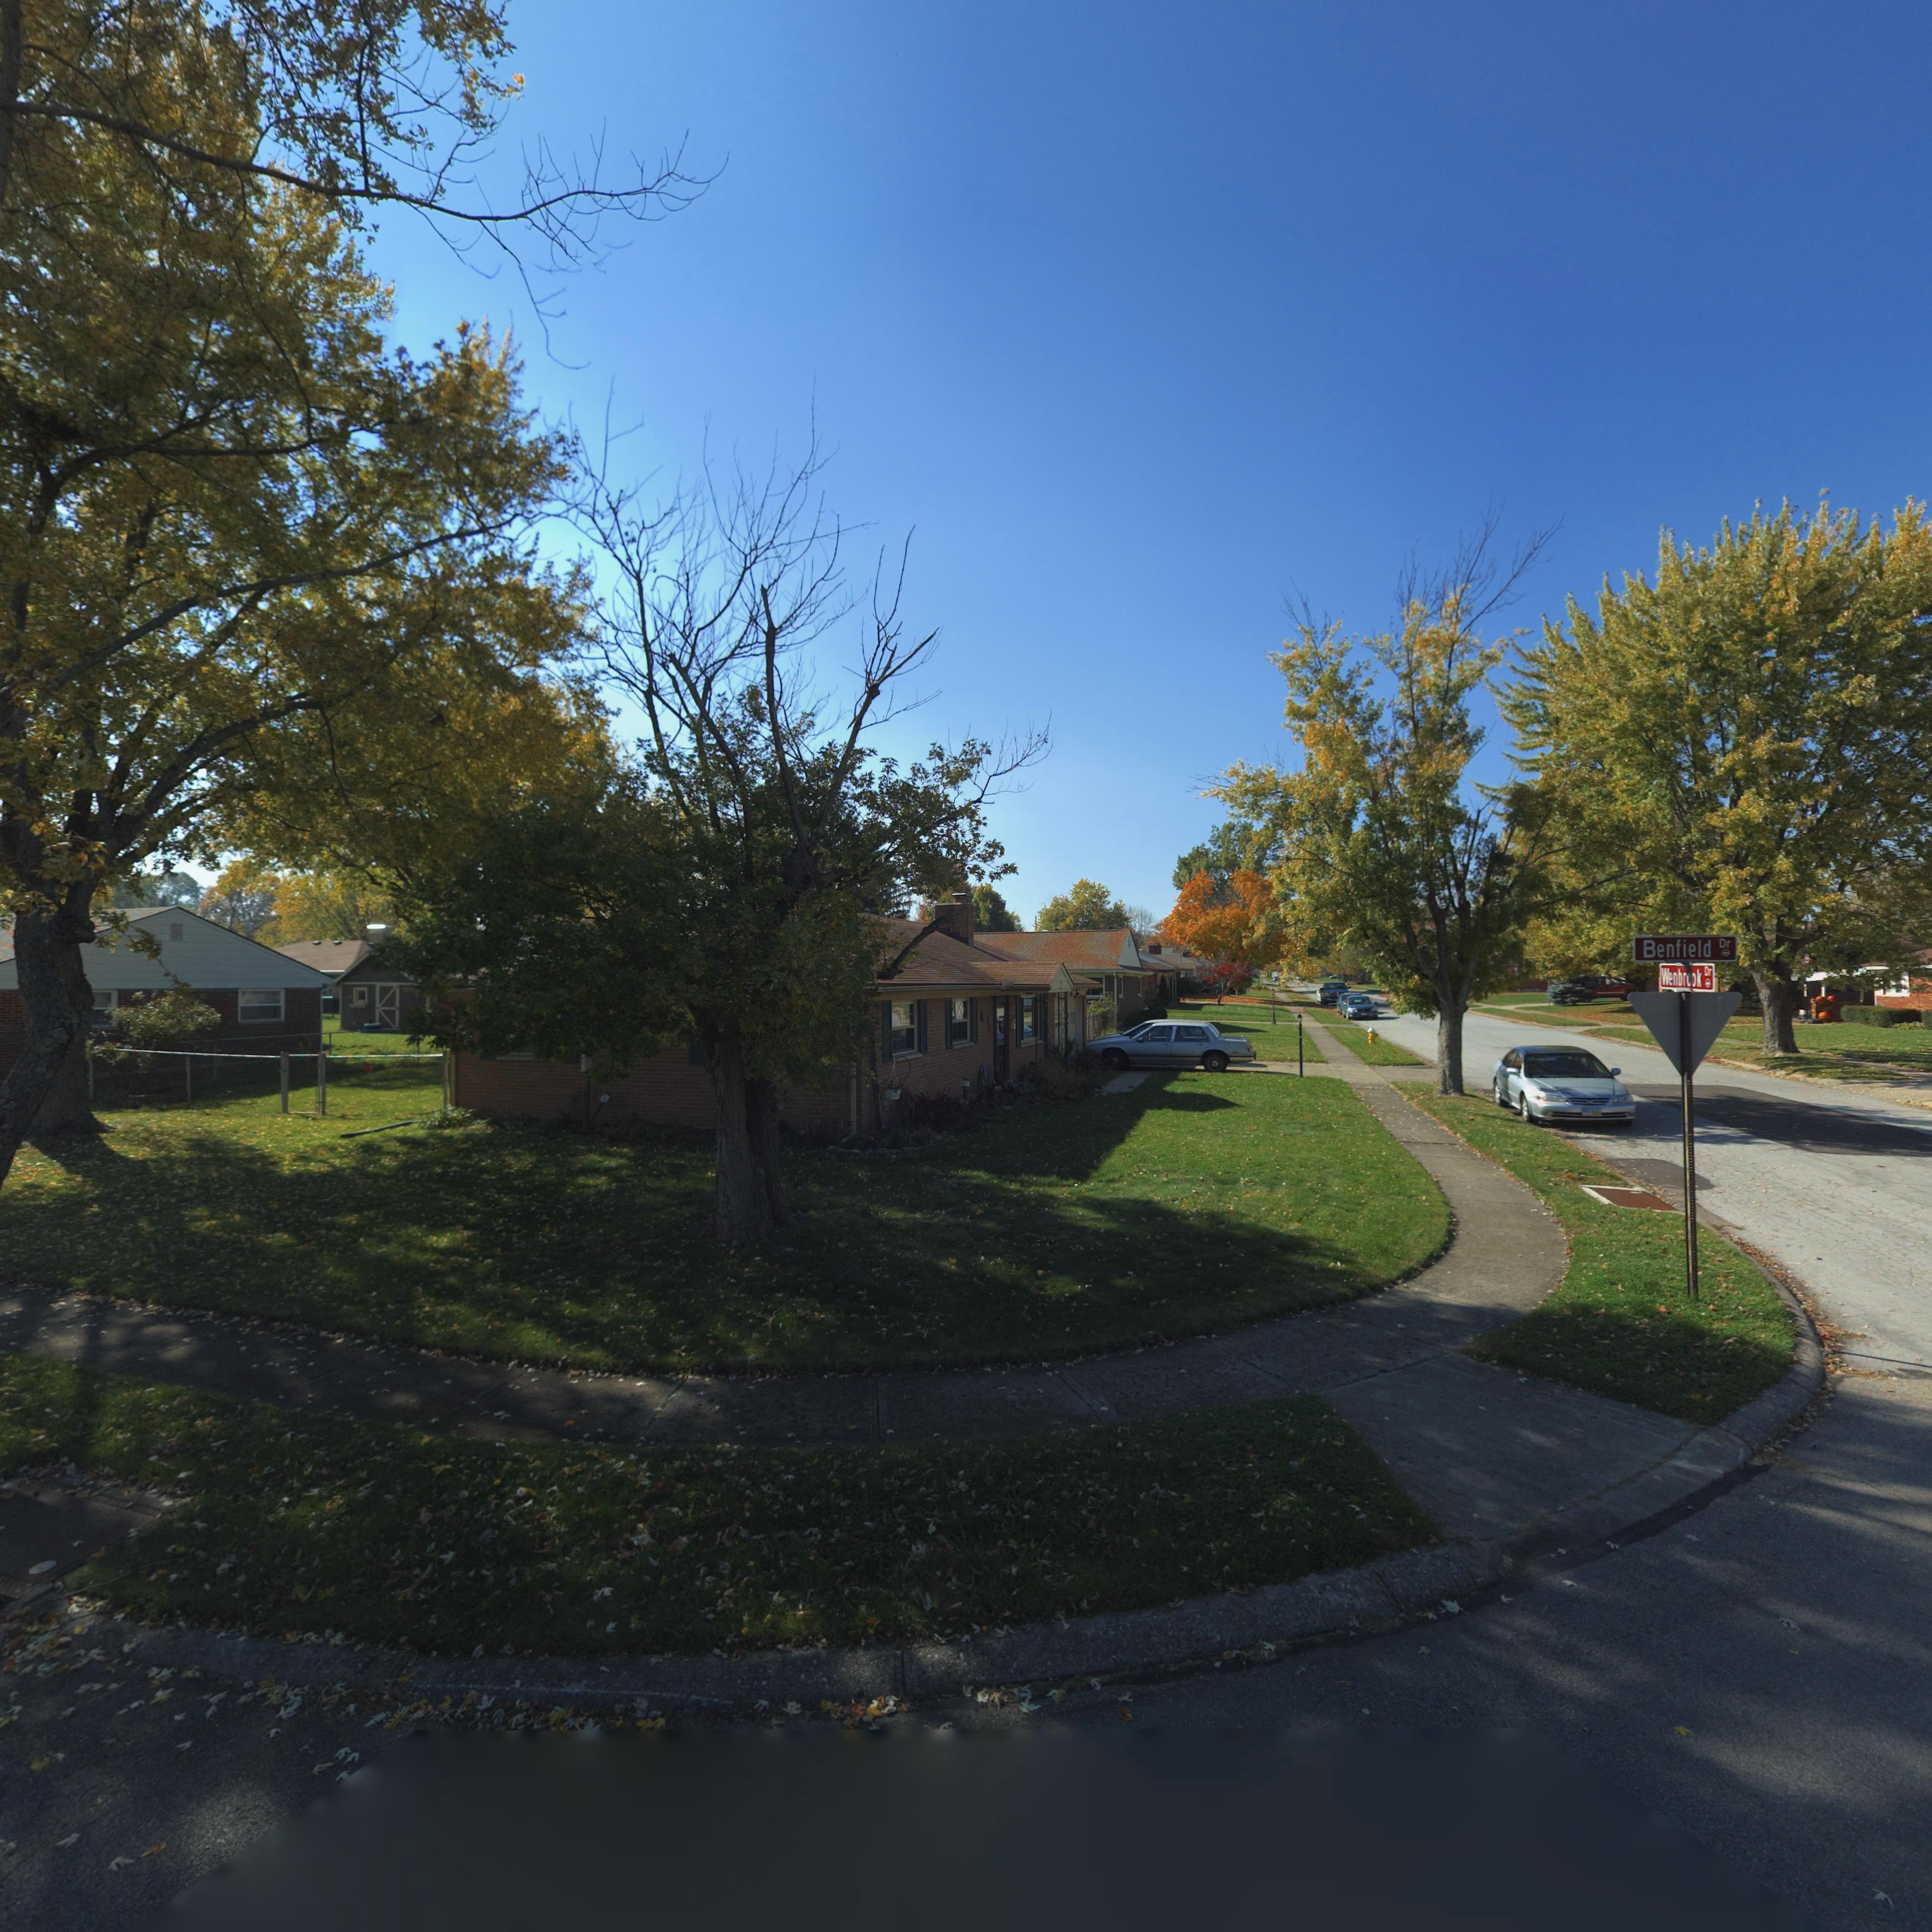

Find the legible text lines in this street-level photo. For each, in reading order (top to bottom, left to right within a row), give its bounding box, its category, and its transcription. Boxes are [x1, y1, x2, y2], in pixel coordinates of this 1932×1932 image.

[1642, 937, 1732, 959] StreetName: Benfield Dr
[1662, 966, 1712, 987] StreetName: Wenbrook Dr